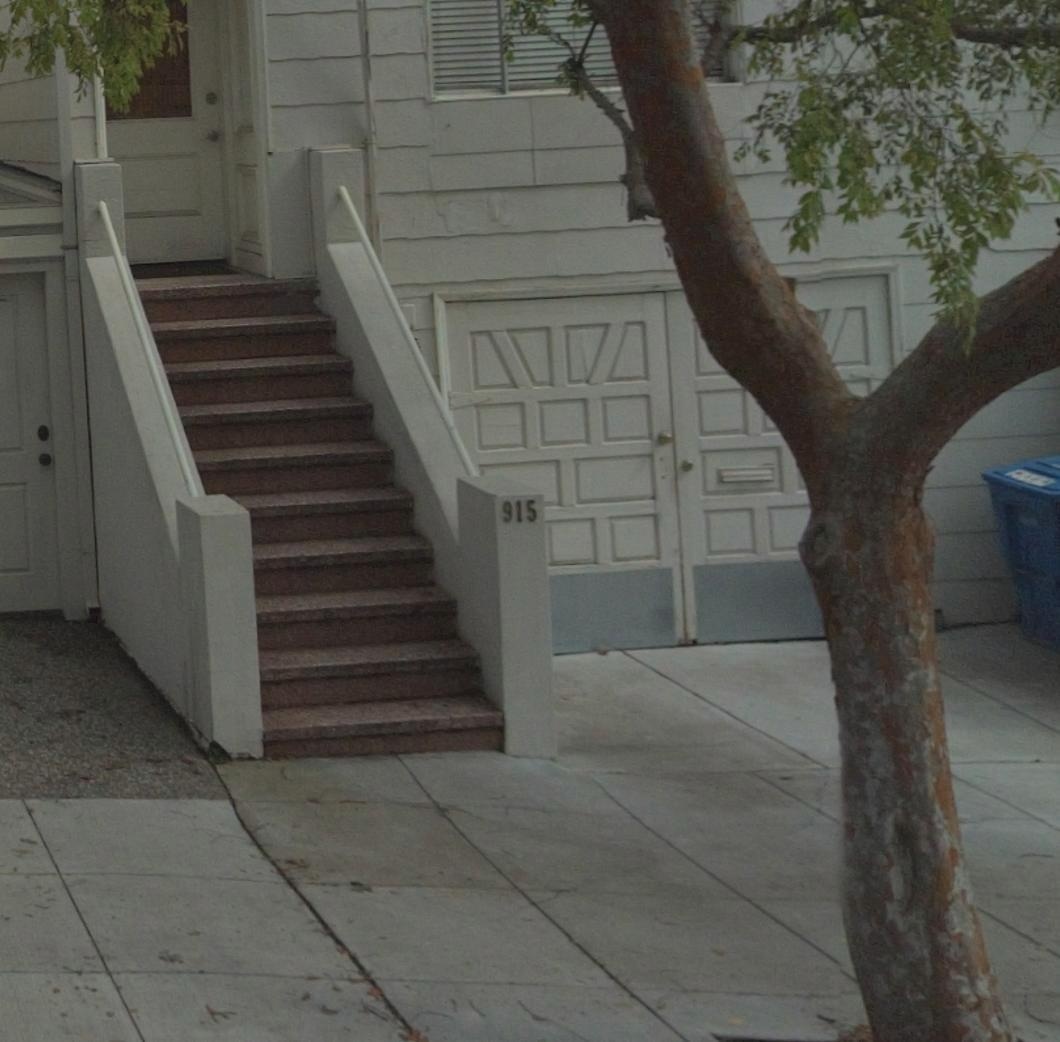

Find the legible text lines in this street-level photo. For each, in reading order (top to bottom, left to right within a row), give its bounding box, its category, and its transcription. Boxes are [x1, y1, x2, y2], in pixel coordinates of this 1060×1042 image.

[500, 500, 539, 524] StreetNumber: 915